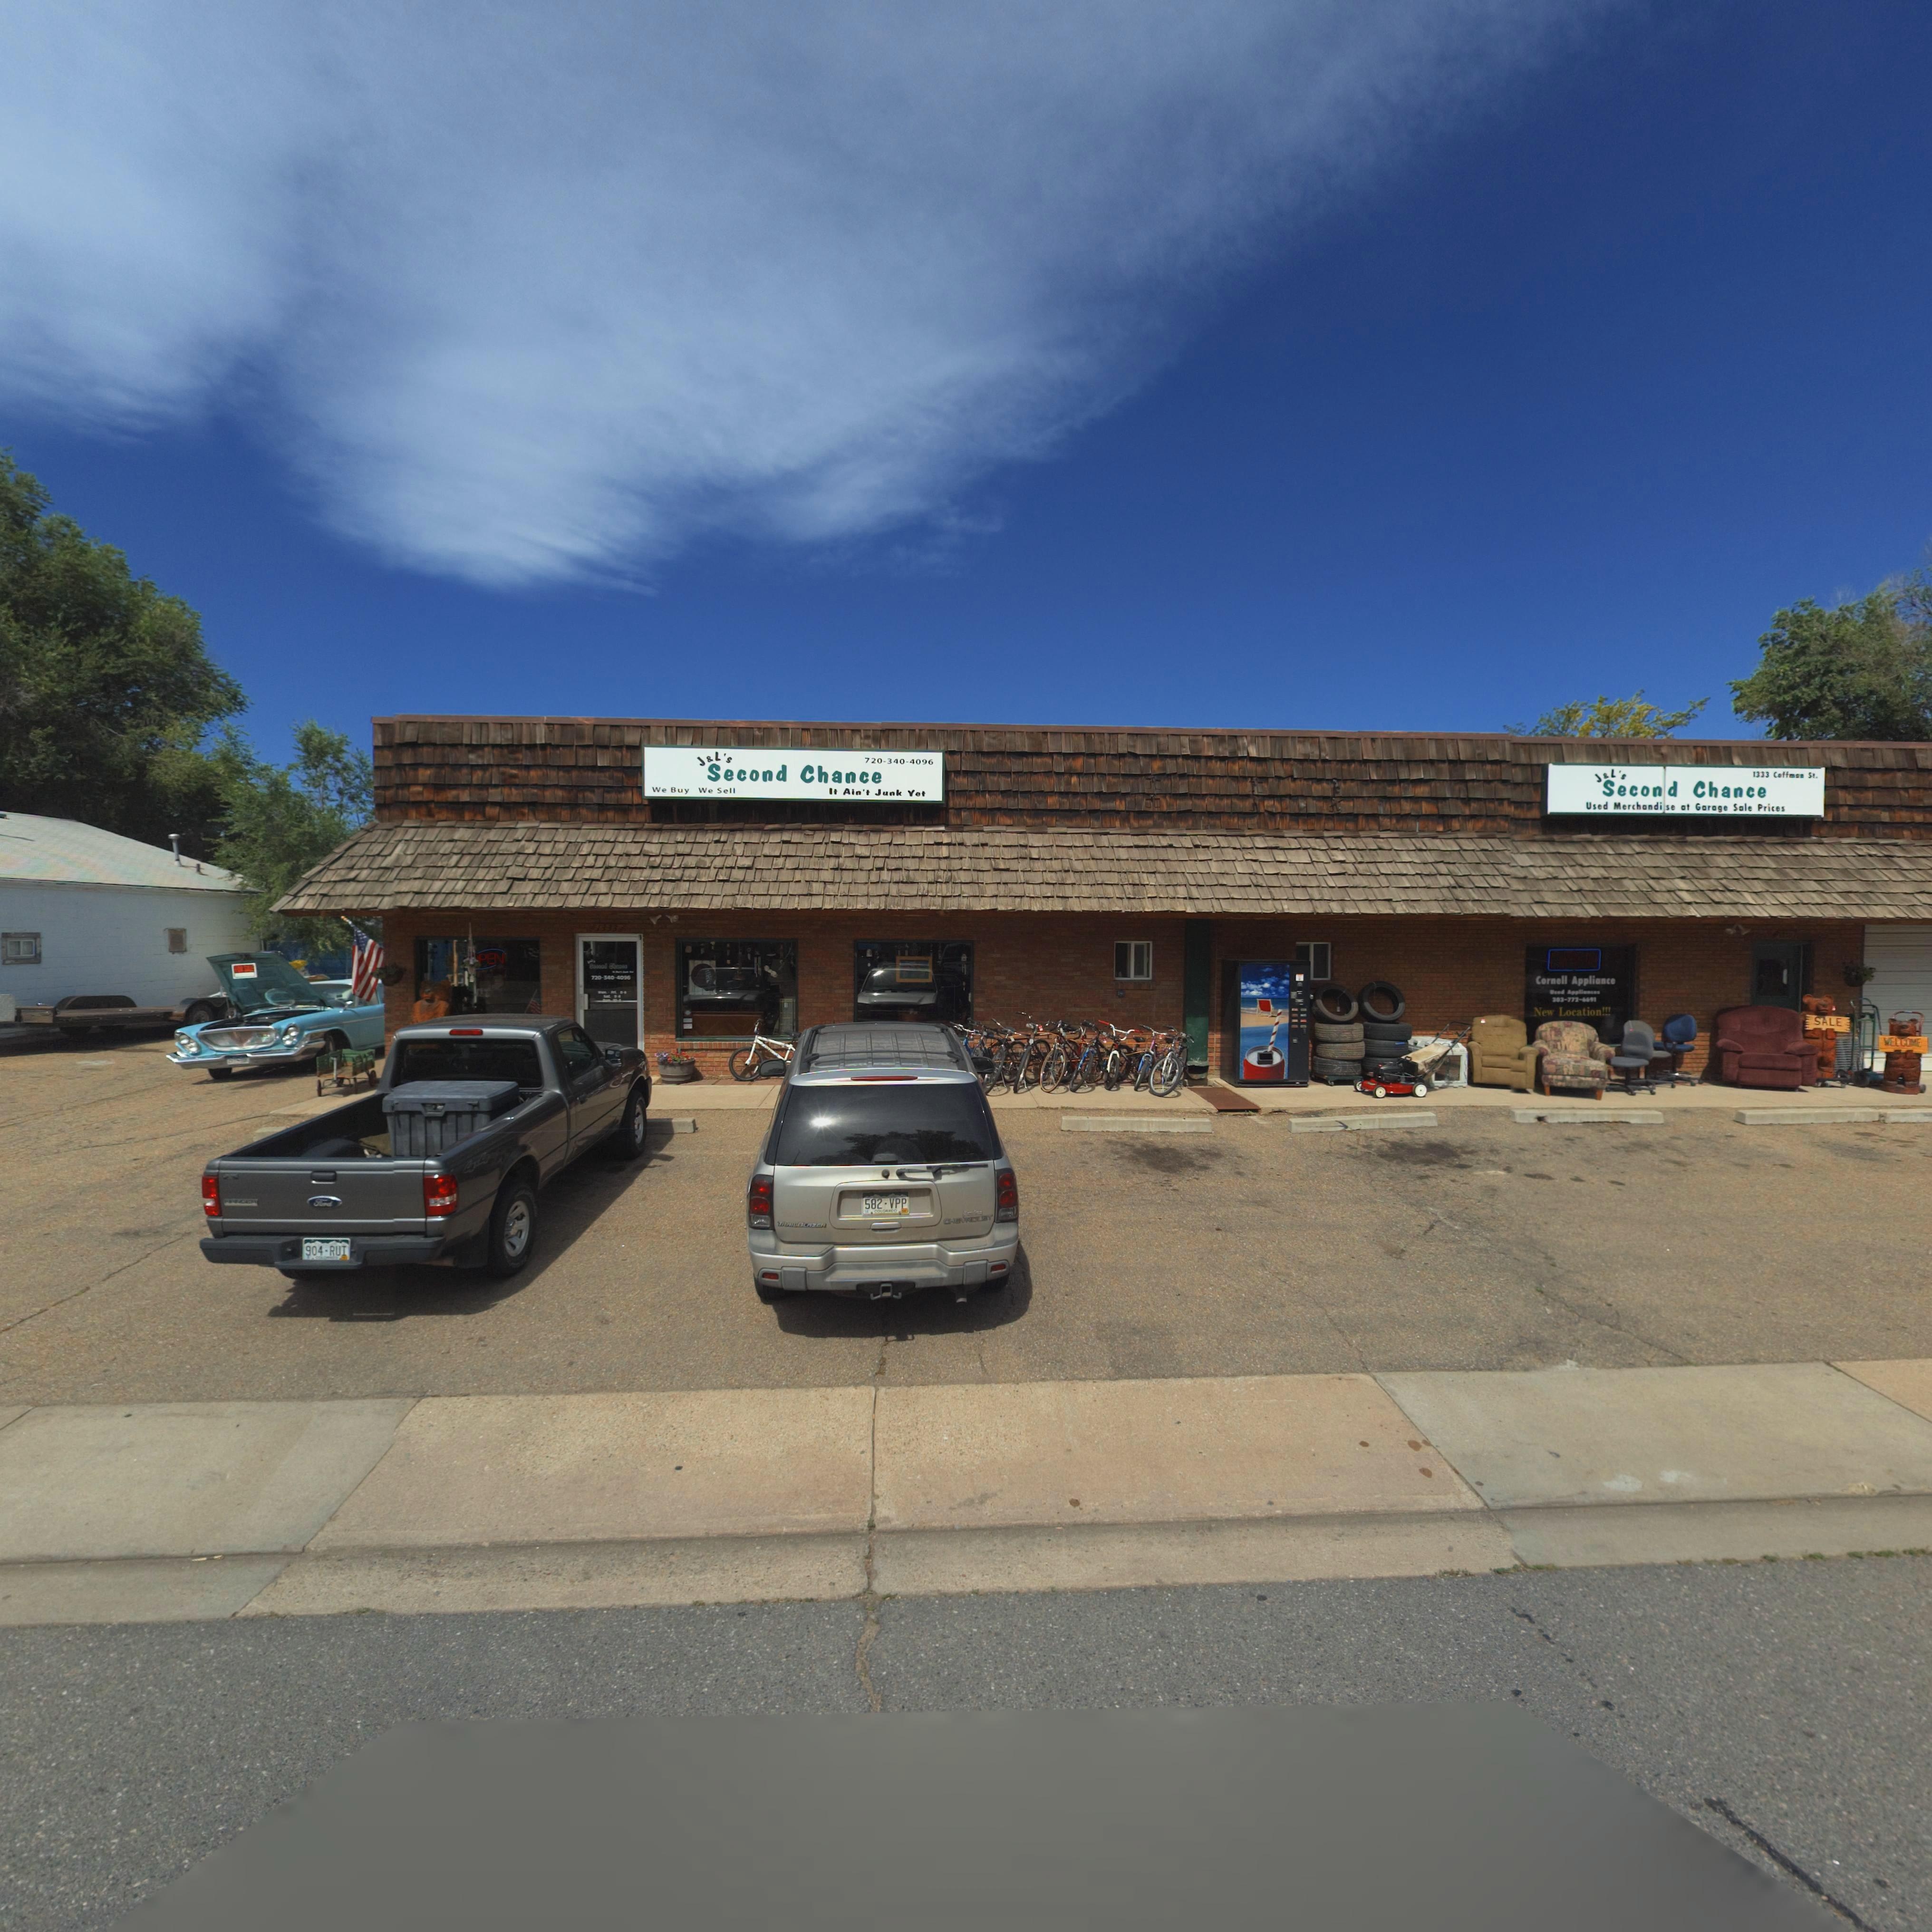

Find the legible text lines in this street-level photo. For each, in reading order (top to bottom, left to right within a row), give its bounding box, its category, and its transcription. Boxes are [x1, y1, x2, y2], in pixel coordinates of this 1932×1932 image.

[696, 750, 733, 766] BusinessName: J&L's
[706, 762, 883, 784] BusinessName: Second Chance
[1594, 768, 1627, 783] BusinessName: J*L*s
[1752, 771, 1769, 778] StreetNumber: 1333
[1773, 771, 1816, 778] StreetName: Coff**n St
[1601, 779, 1767, 799] BusinessName: Second Chance
[596, 924, 619, 932] StreetNumber: 1333
[589, 962, 628, 969] BusinessName: S****d C*****
[1535, 975, 1616, 987] BusinessName: Cornell Appliance